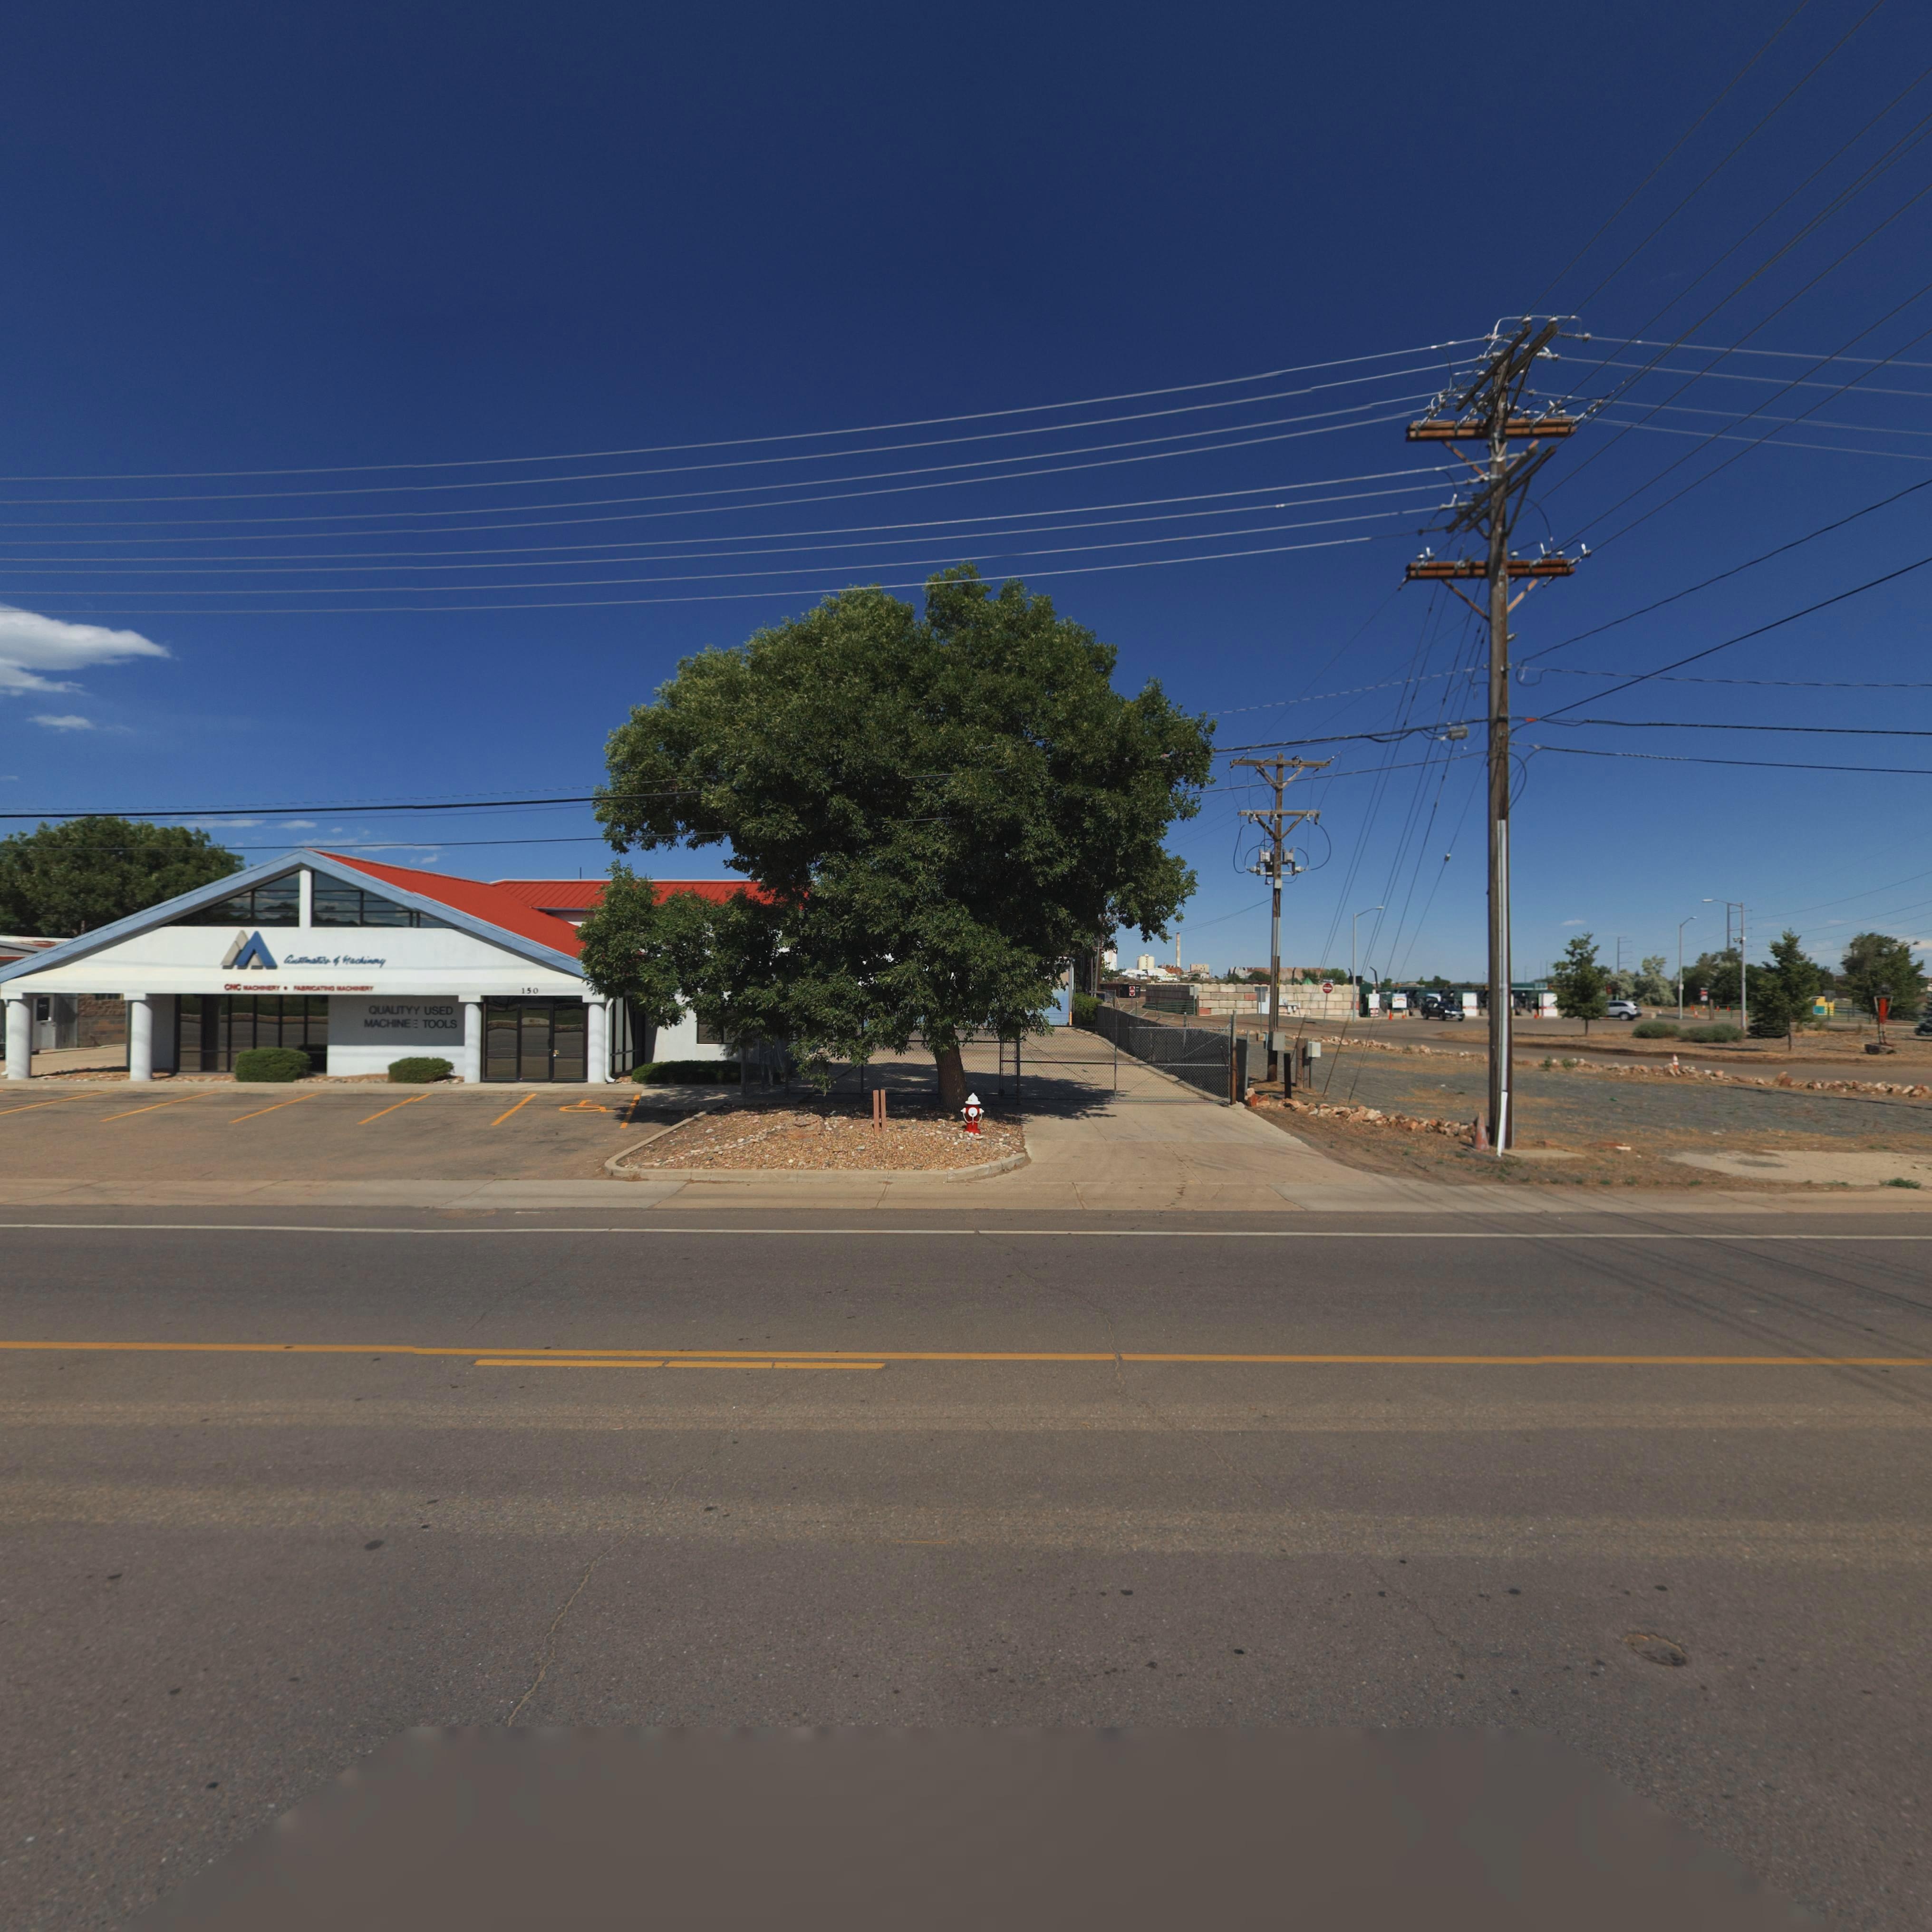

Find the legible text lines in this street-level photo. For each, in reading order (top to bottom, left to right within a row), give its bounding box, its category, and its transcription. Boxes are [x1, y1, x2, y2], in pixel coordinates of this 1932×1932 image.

[283, 954, 386, 968] BusinessName: Automatics & Machinery
[521, 987, 539, 994] StreetNumber: 150